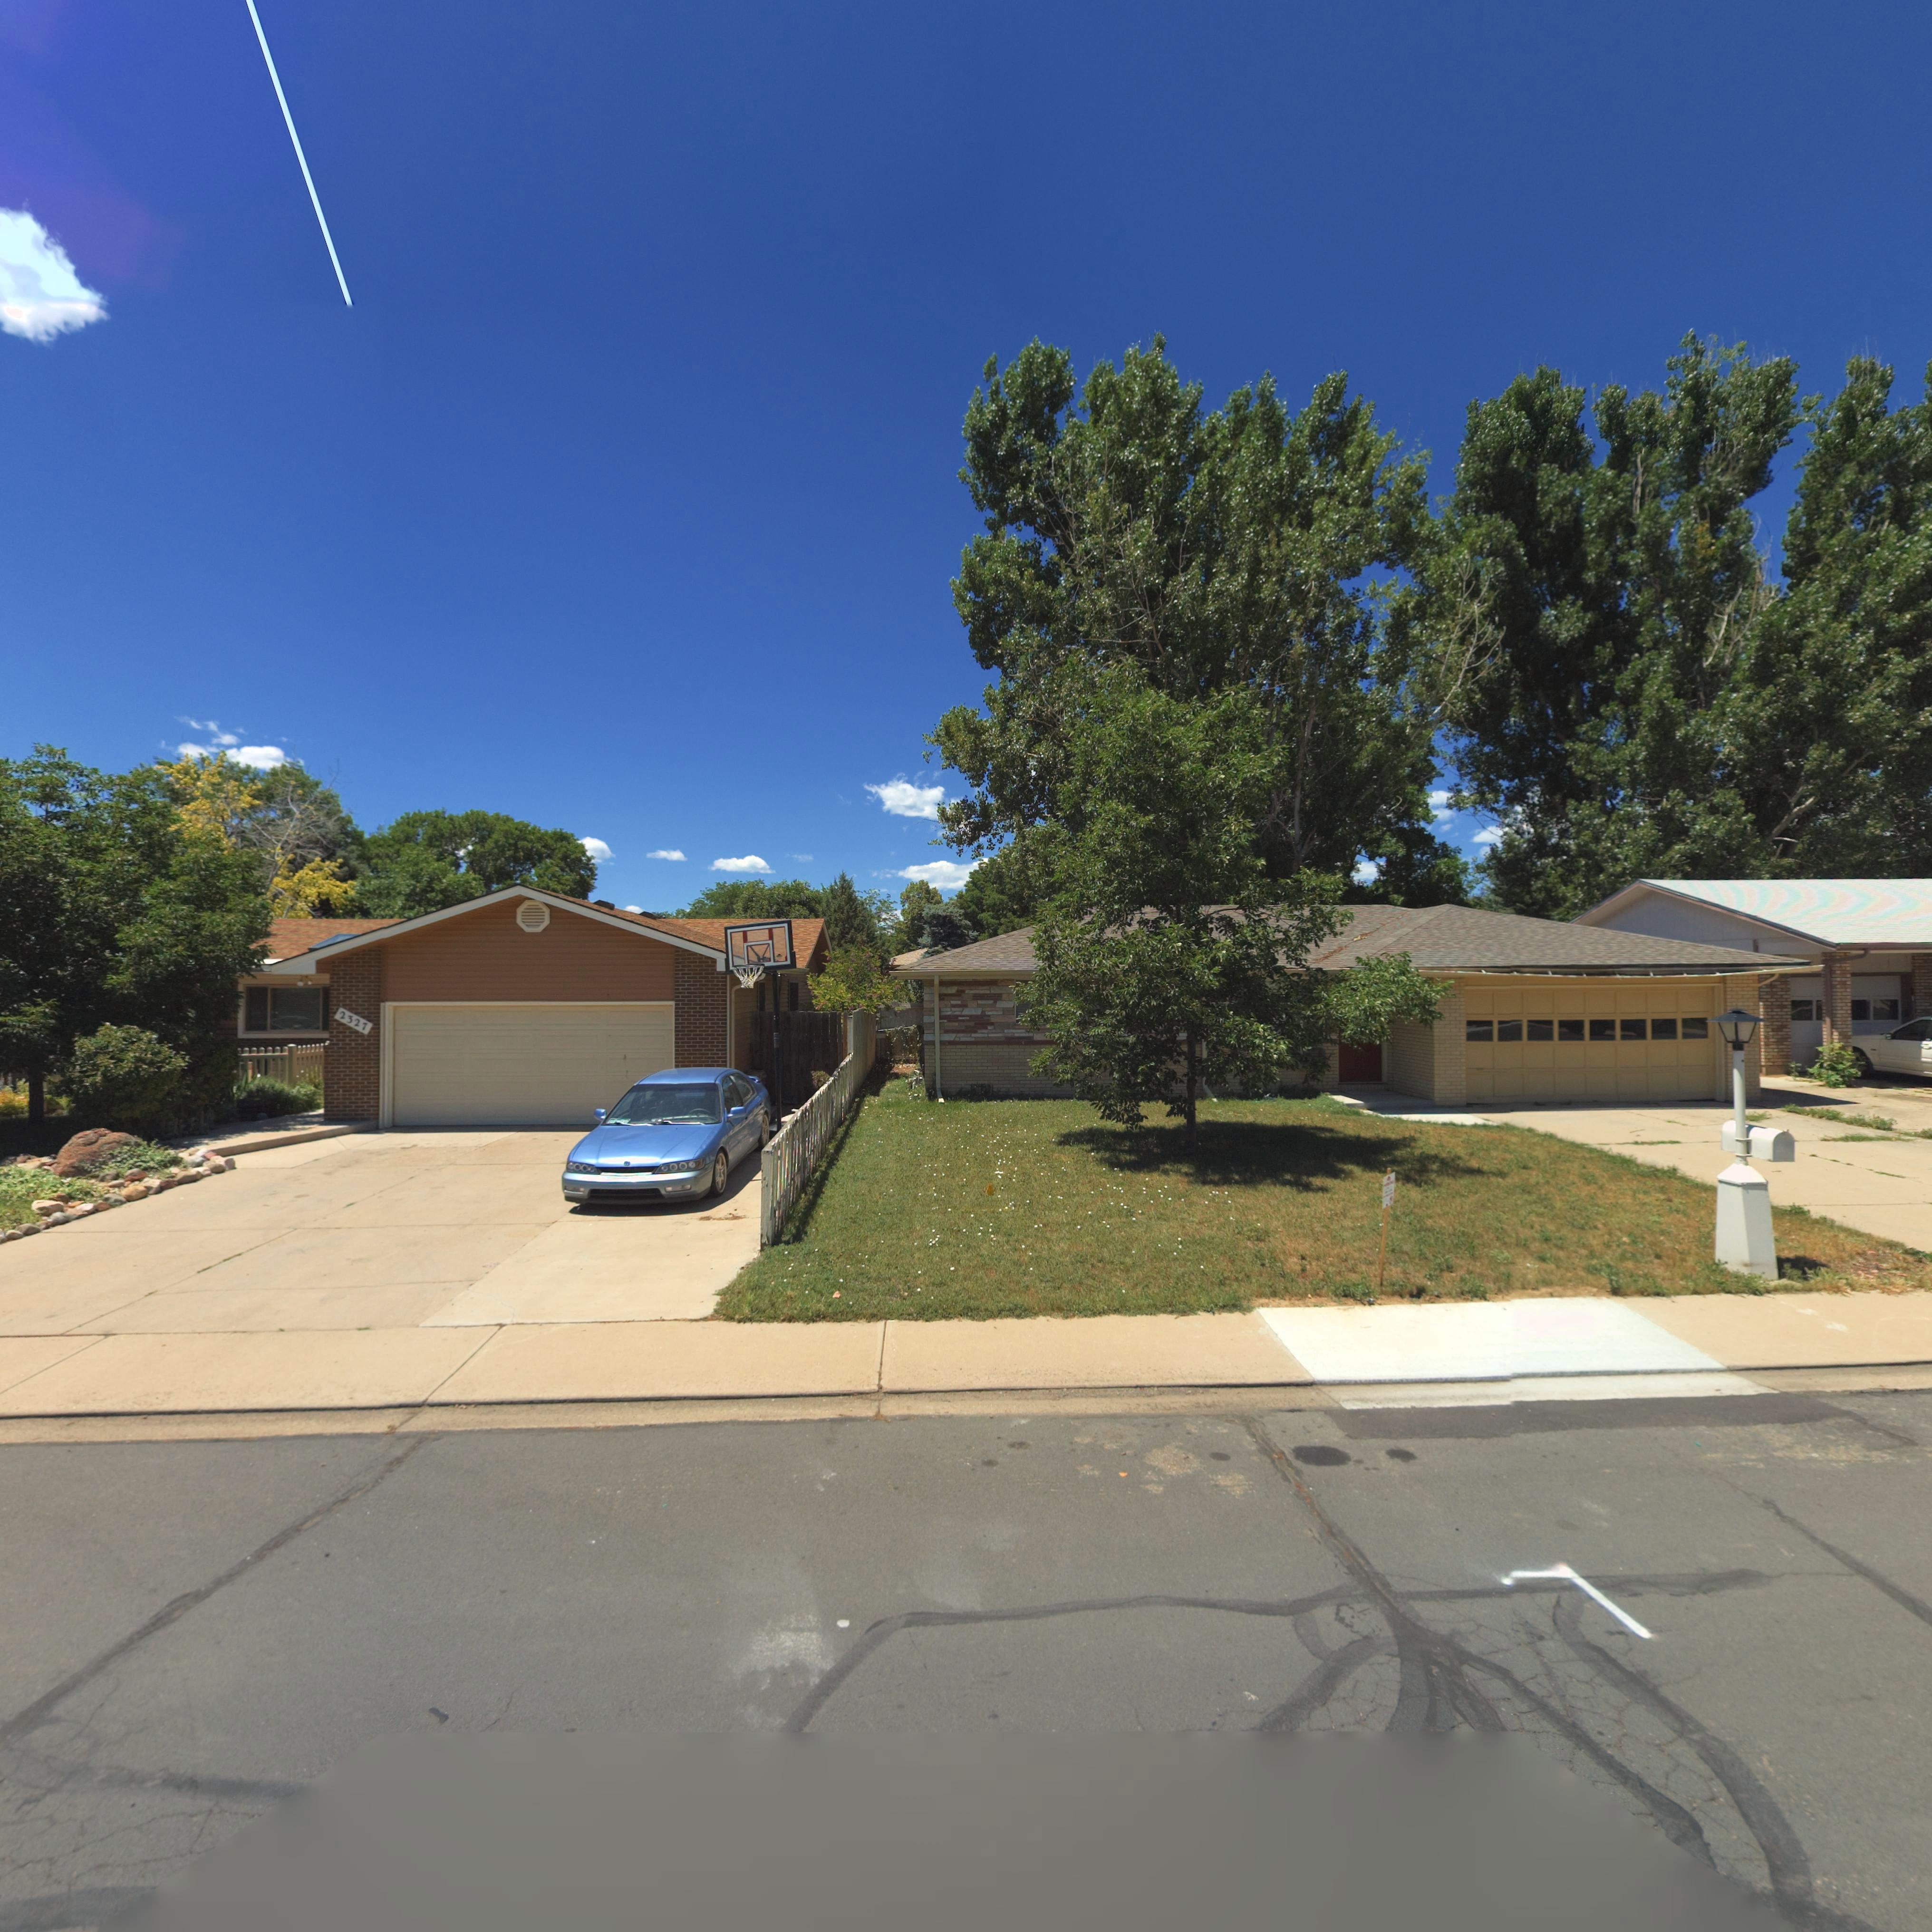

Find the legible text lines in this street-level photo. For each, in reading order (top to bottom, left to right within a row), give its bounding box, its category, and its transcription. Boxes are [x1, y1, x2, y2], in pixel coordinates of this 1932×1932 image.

[339, 1010, 368, 1031] StreetNumber: 2327